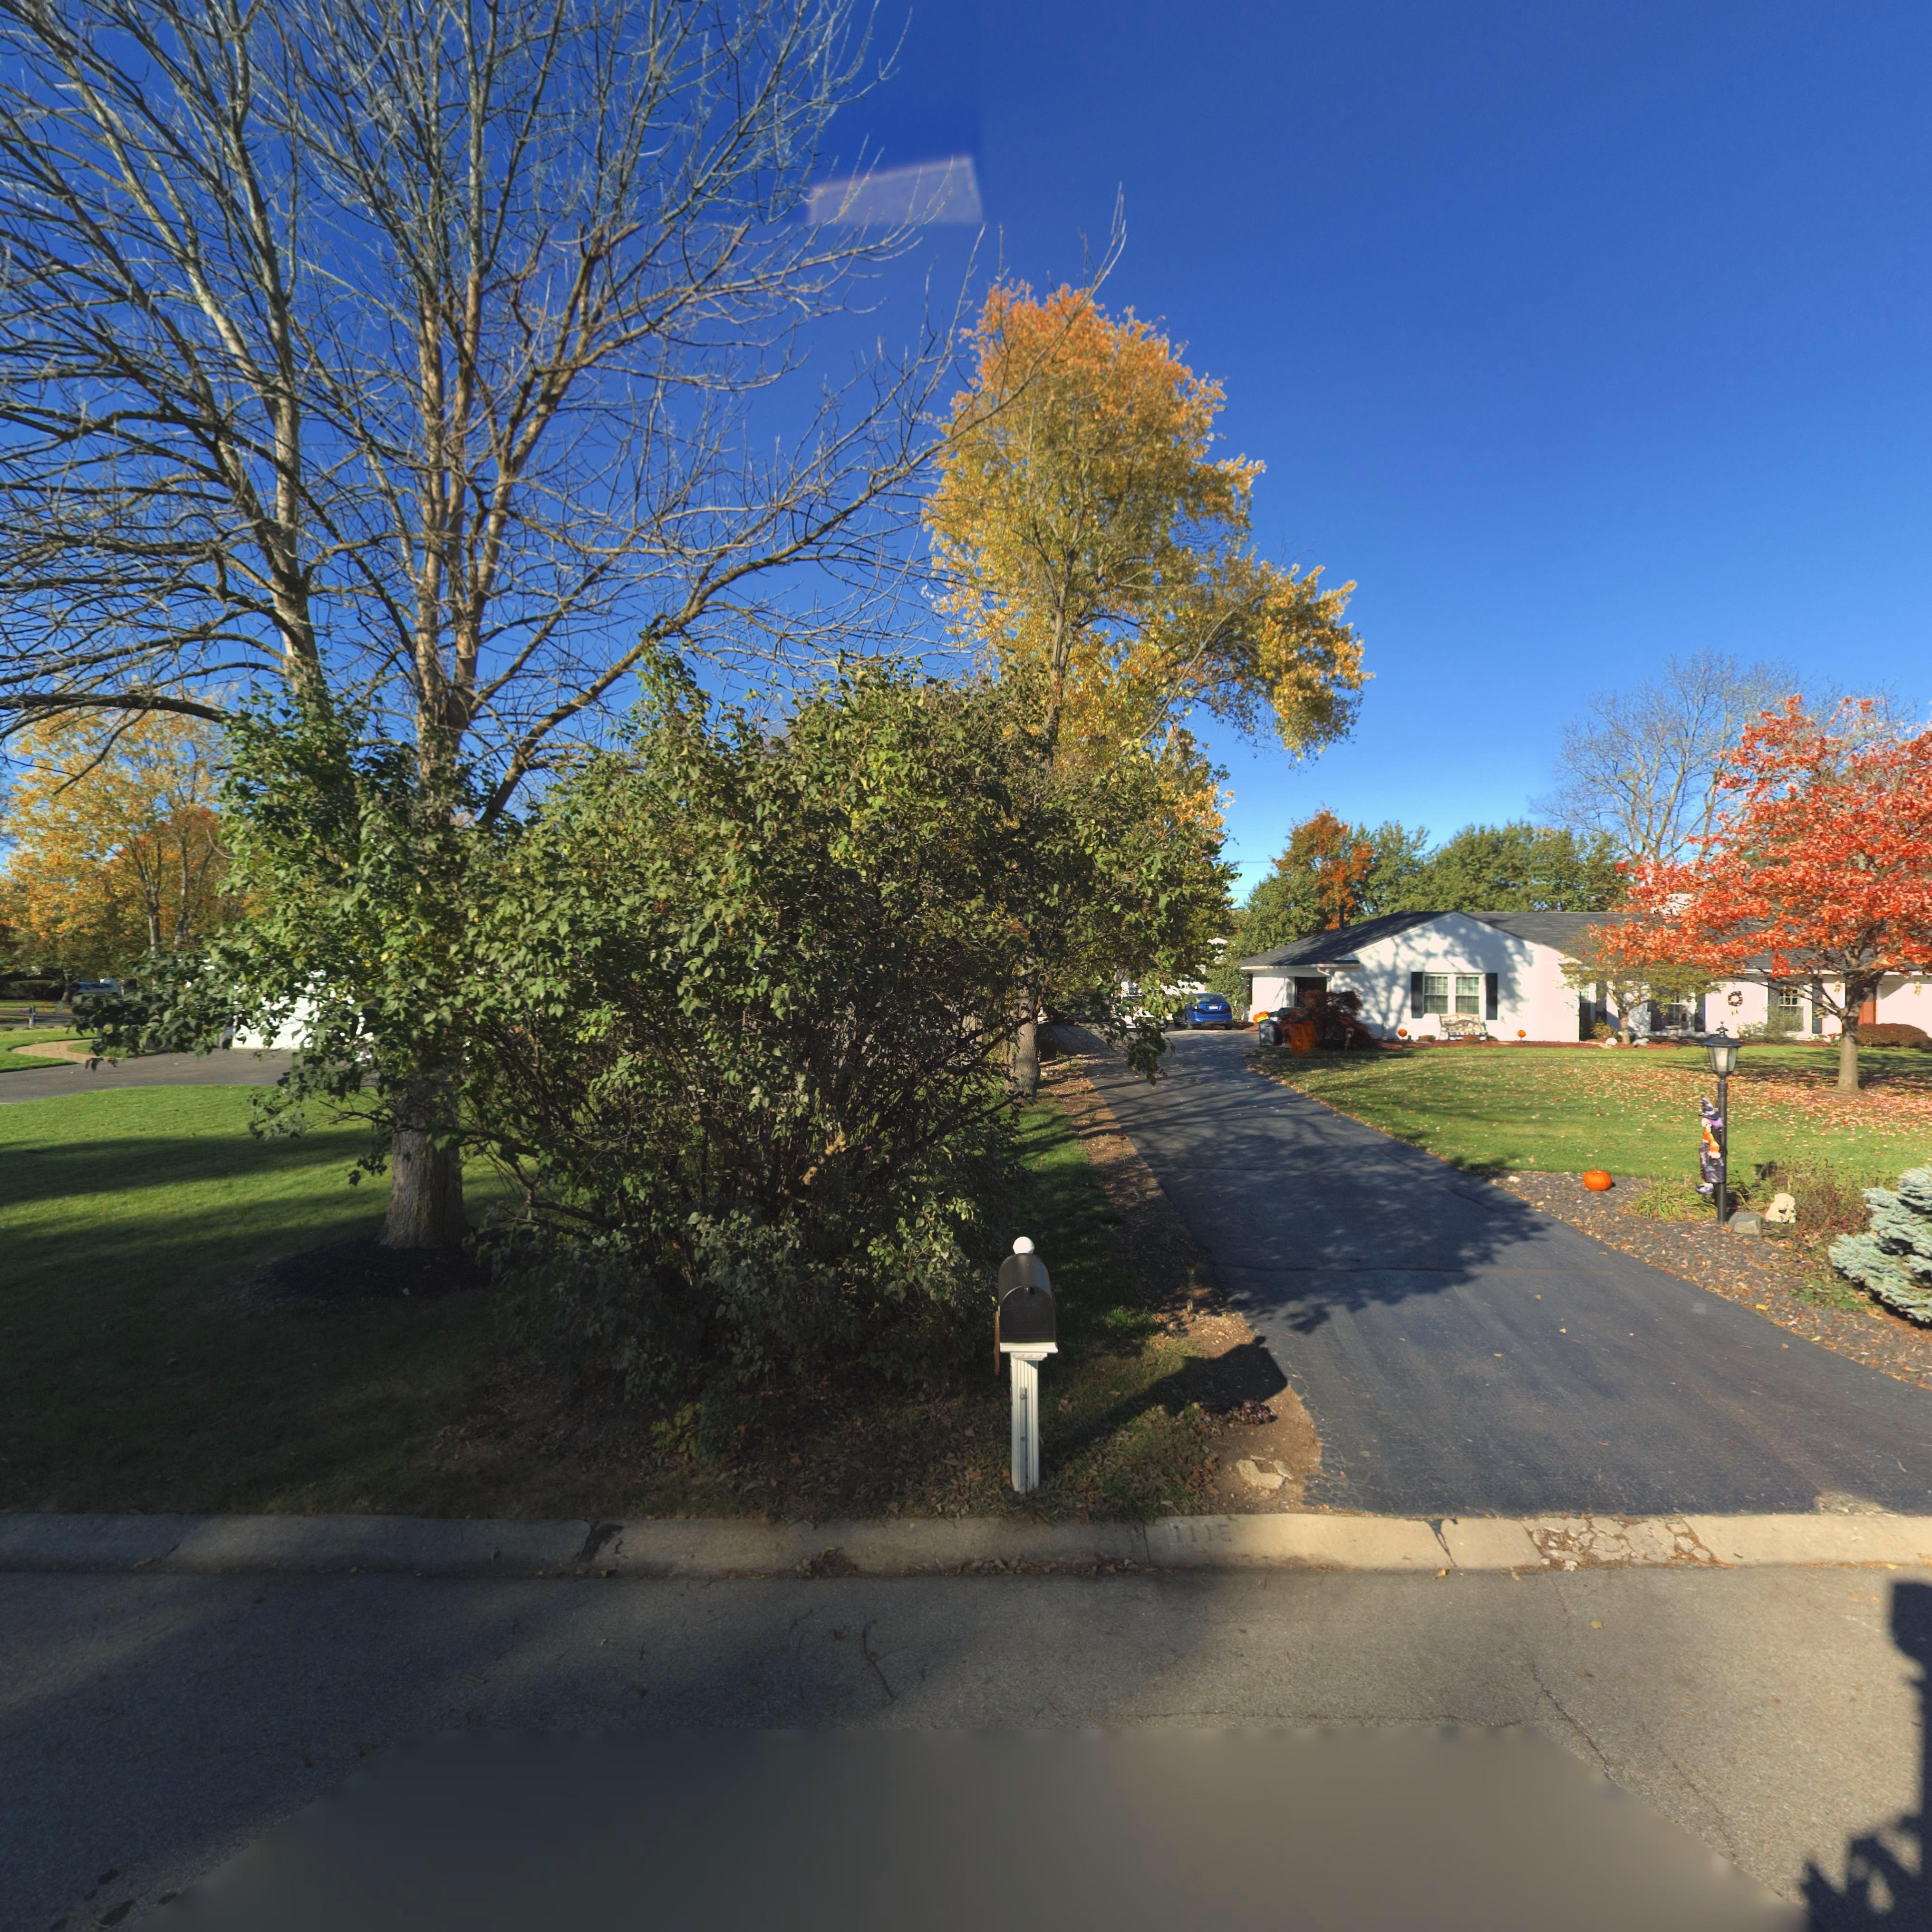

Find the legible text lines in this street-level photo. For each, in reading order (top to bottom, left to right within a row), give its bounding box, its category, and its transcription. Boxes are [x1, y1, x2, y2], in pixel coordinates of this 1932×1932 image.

[1170, 1522, 1235, 1544] StreetNumber: 111*